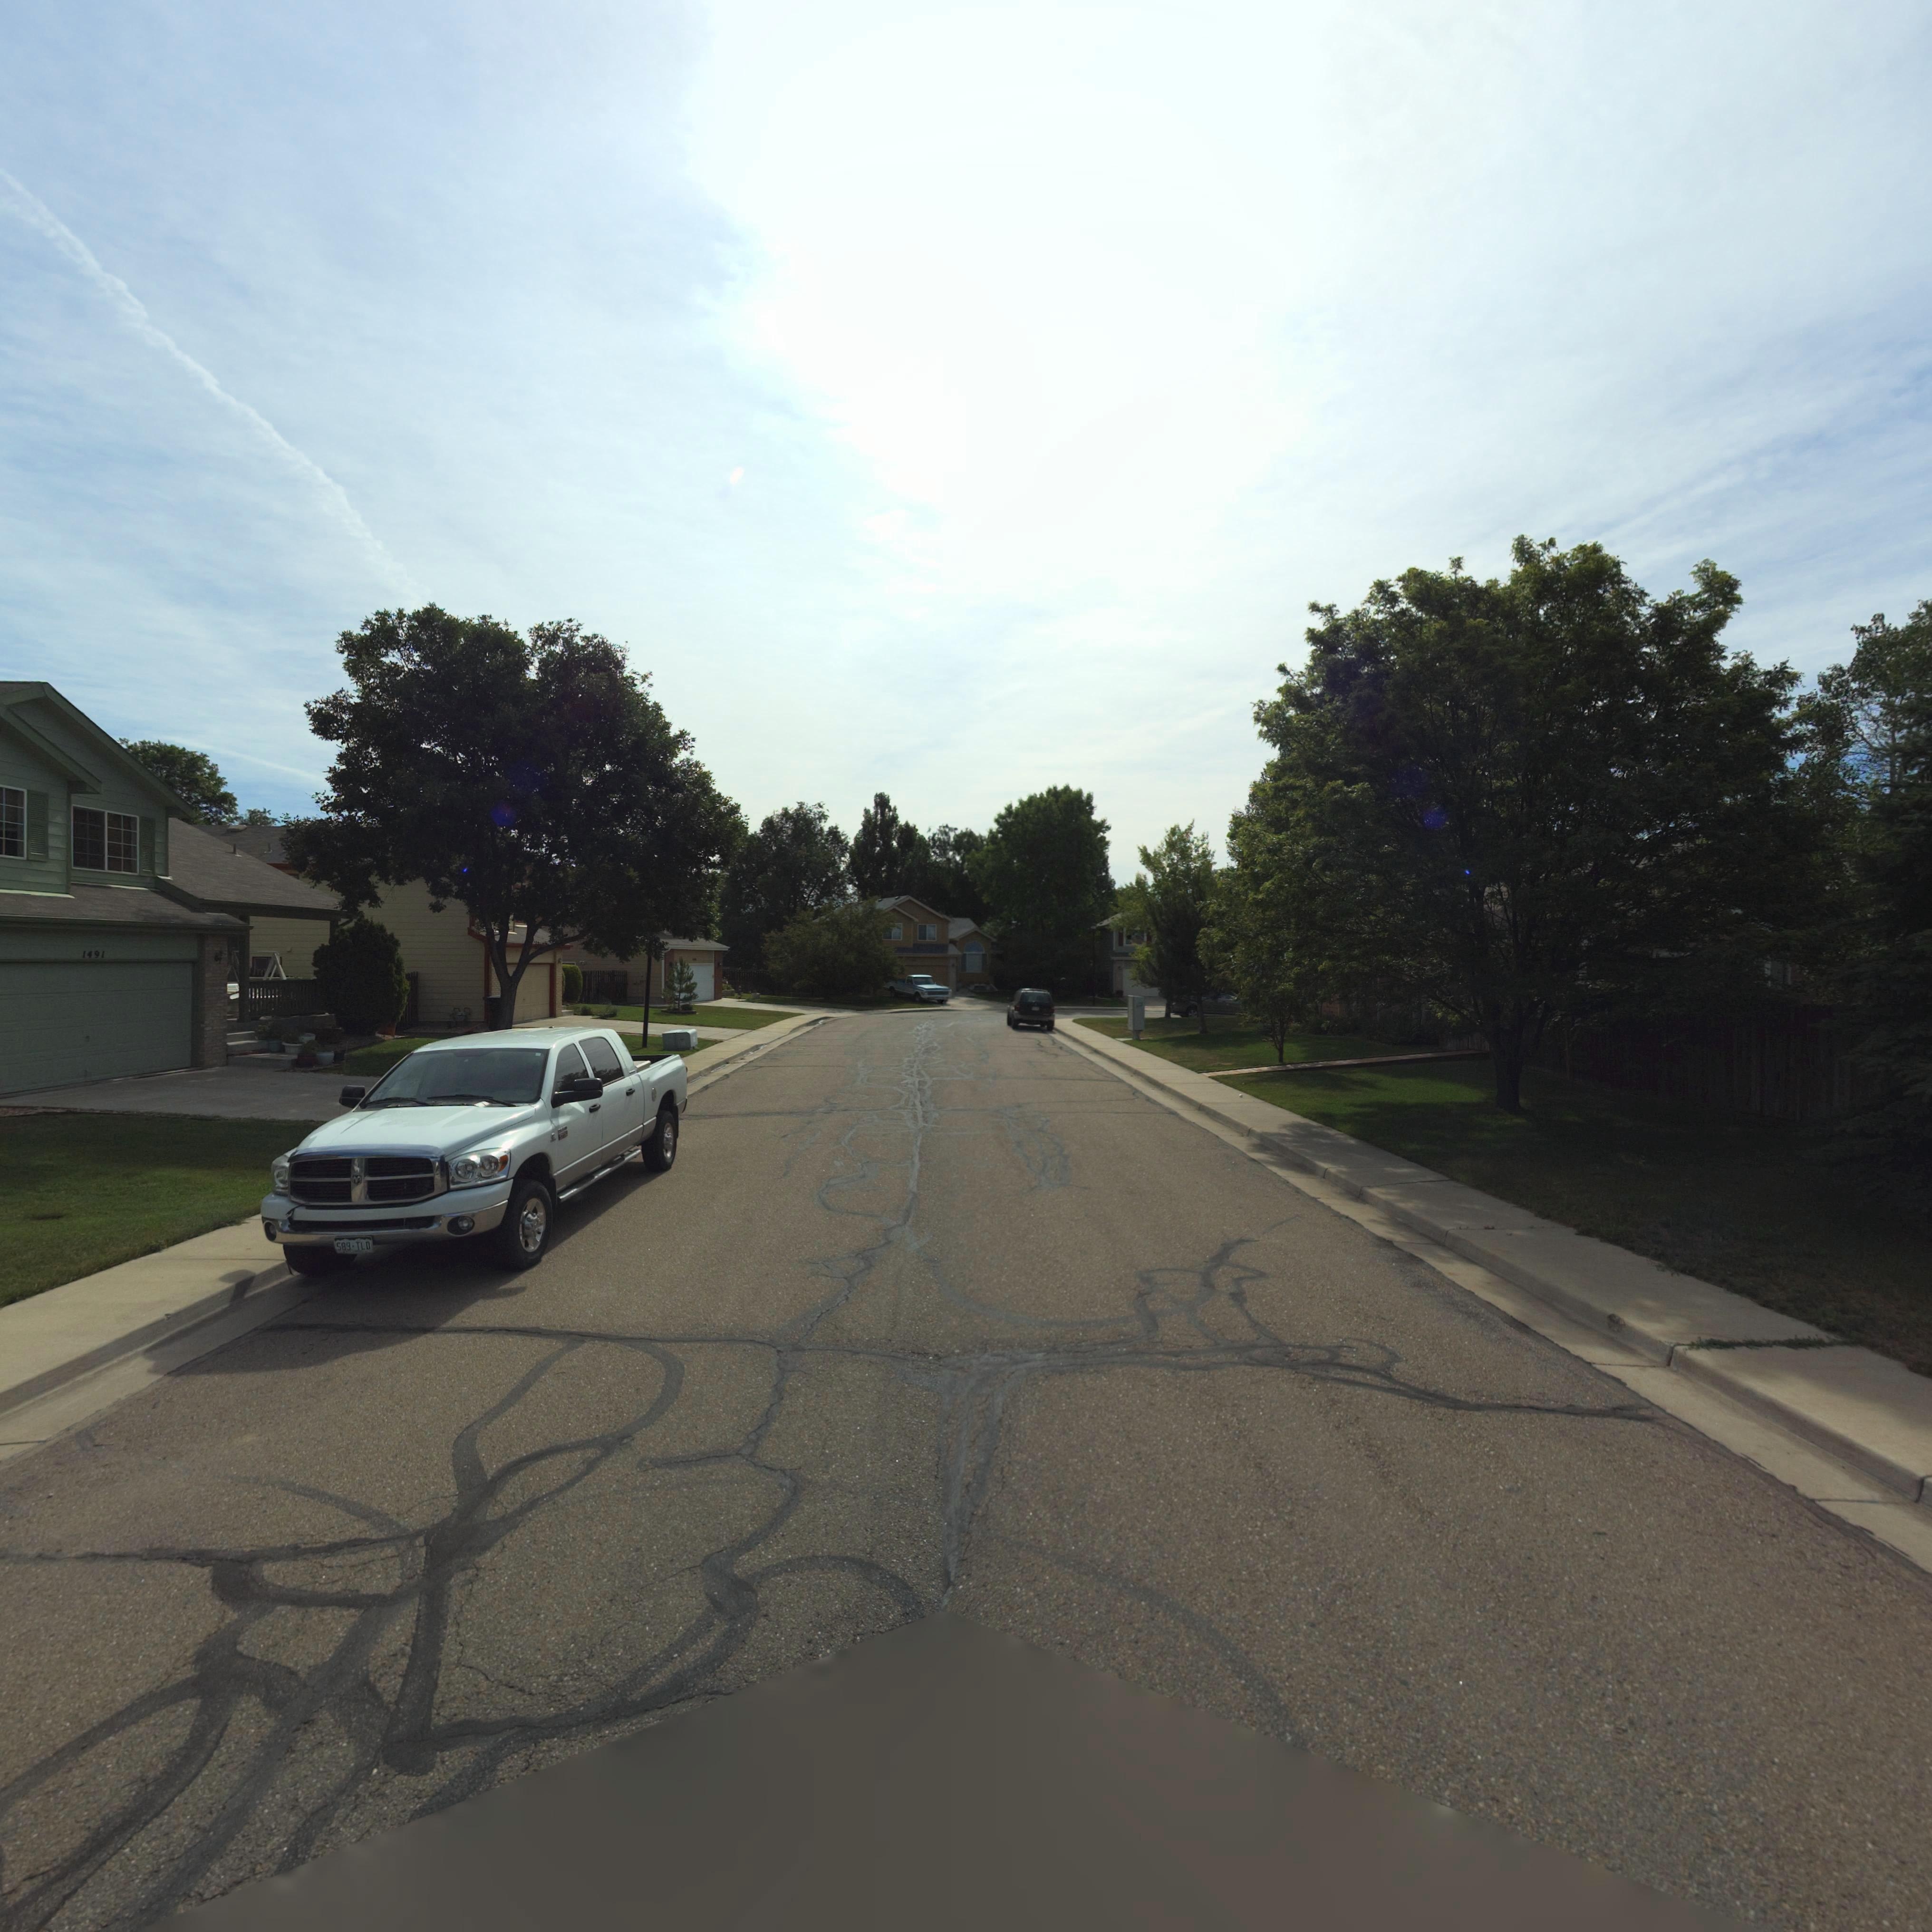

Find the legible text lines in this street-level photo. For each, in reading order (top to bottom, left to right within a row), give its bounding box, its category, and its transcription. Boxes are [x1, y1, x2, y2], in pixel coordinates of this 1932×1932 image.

[81, 949, 105, 959] StreetNumber: 1491